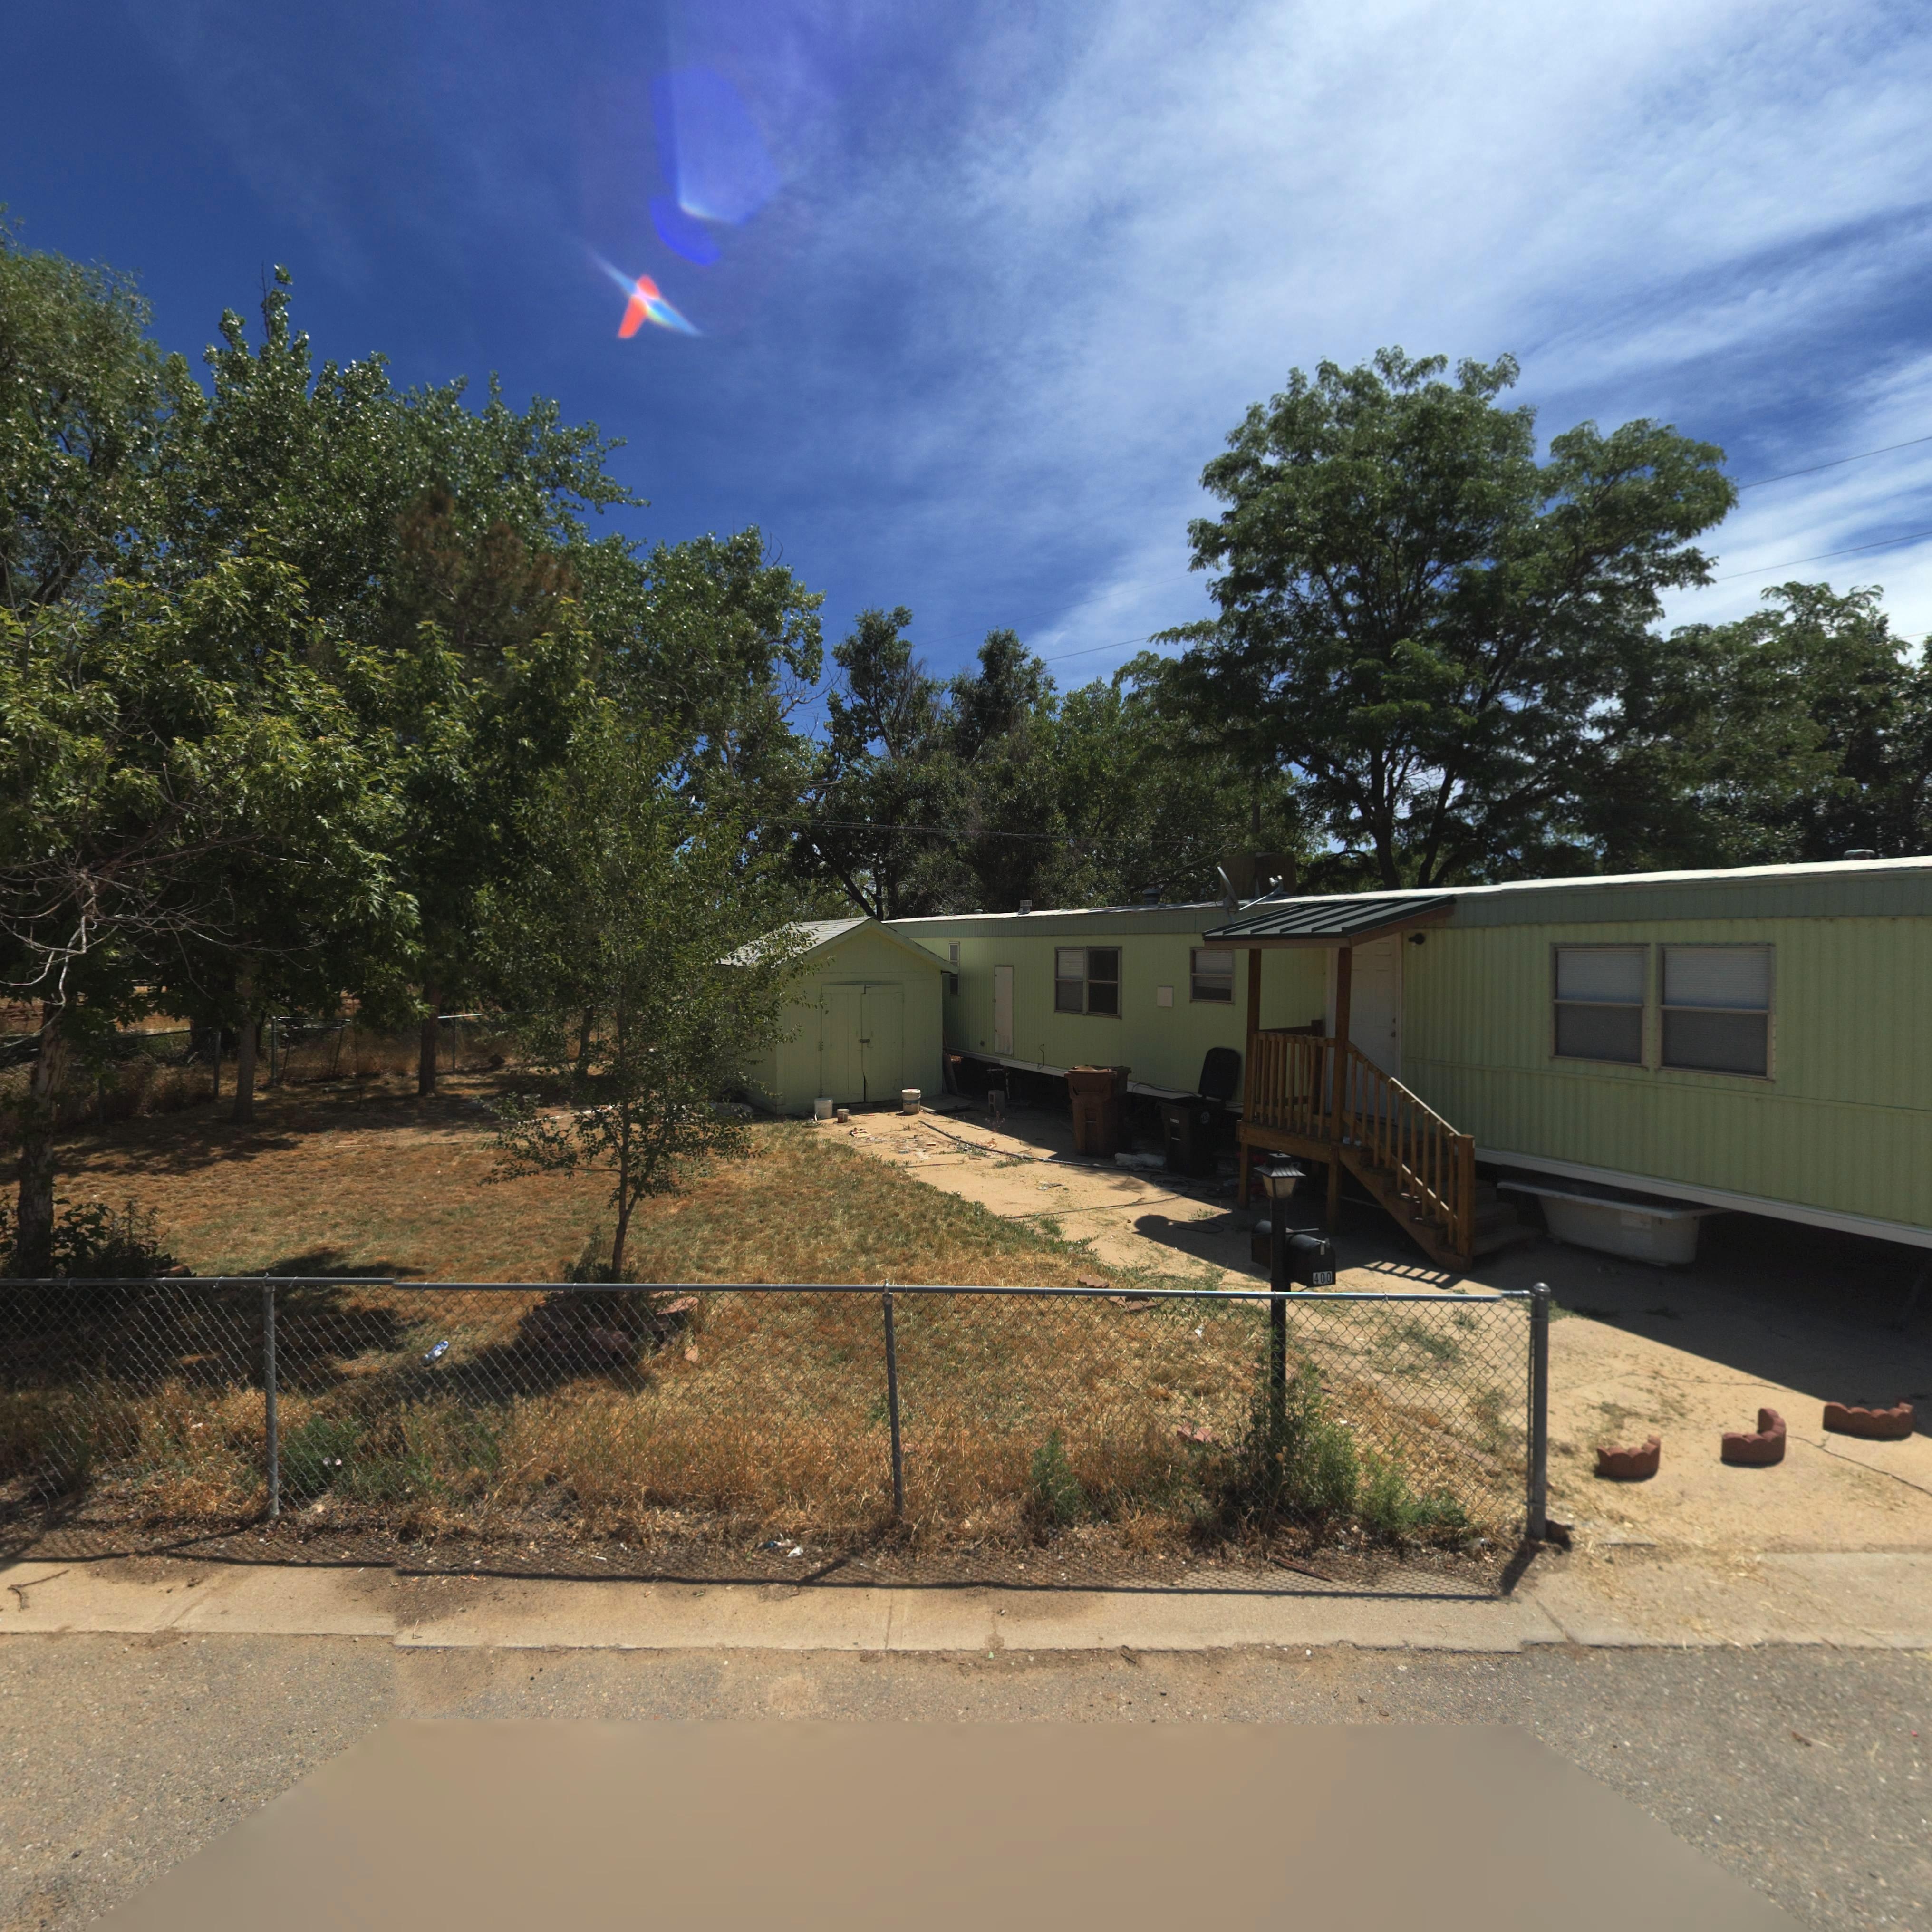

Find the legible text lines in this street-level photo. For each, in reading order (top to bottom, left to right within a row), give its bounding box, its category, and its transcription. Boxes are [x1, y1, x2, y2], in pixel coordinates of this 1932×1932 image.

[1313, 1272, 1331, 1284] StreetNumber: 400